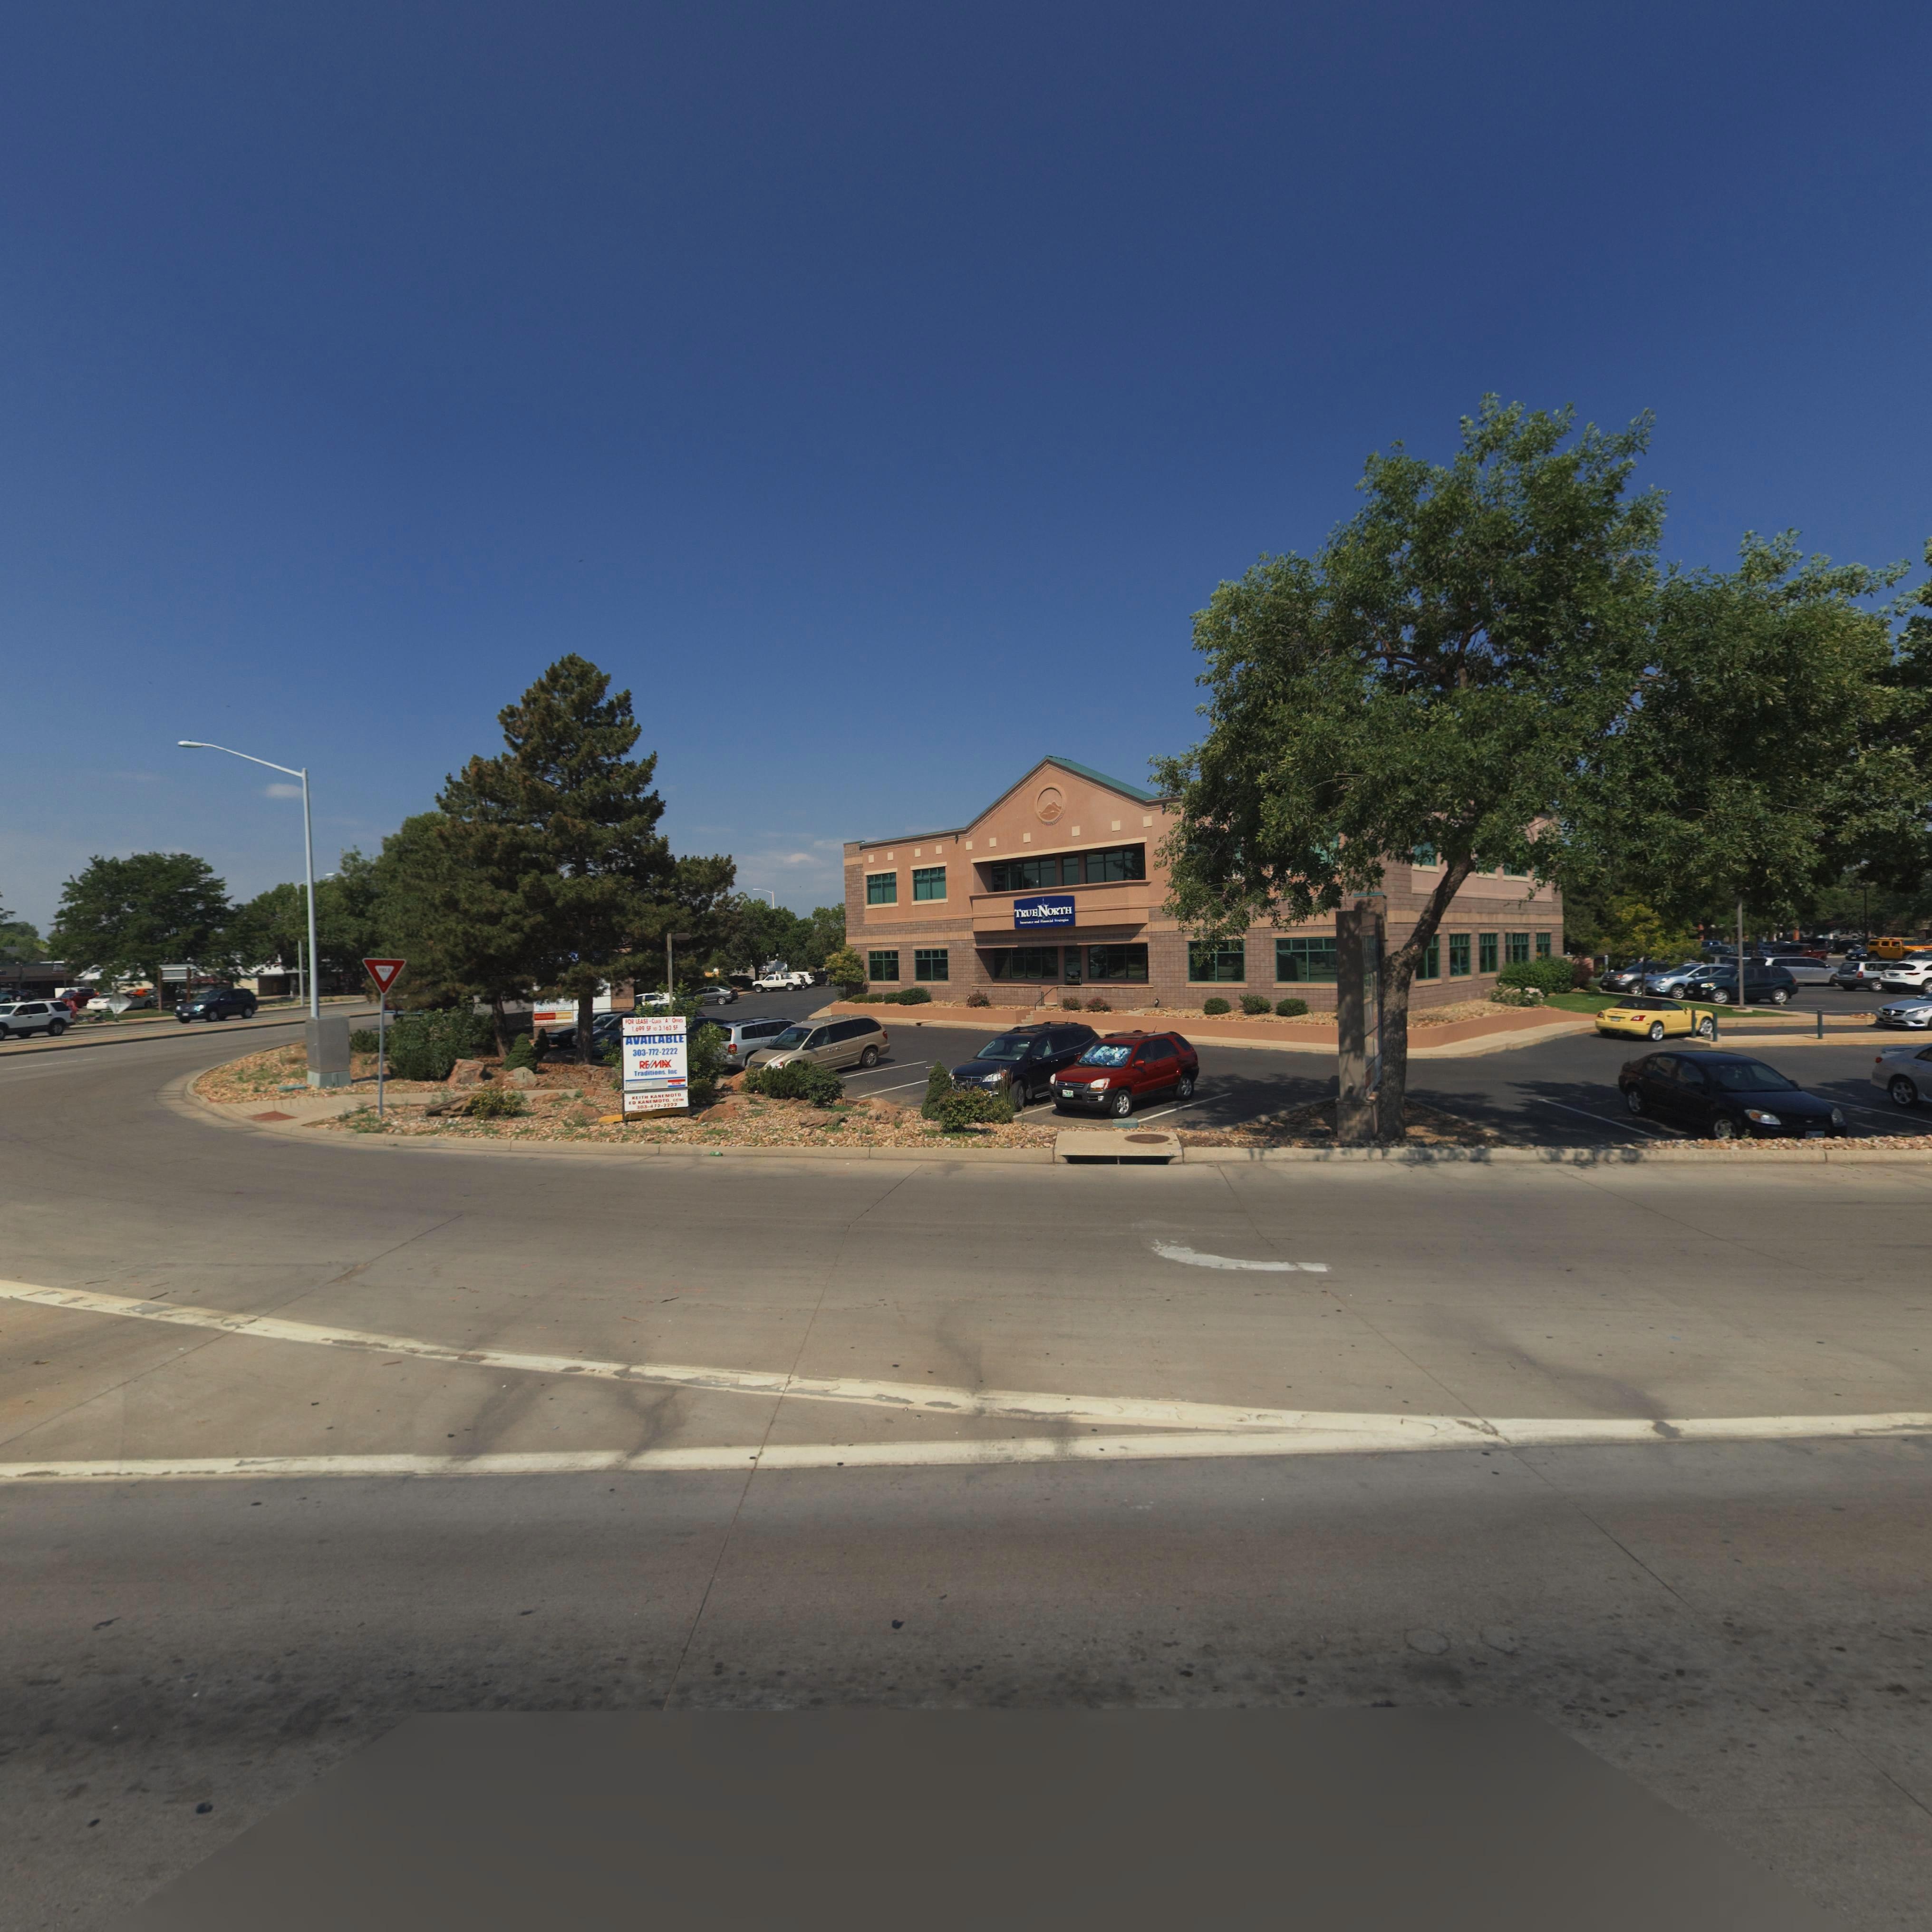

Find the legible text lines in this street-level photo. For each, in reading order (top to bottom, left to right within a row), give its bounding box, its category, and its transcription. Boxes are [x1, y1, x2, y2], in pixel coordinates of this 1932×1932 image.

[1014, 904, 1072, 918] BusinessName: TRUENORTH
[533, 1014, 556, 1018] BusinessName: W***S ****O